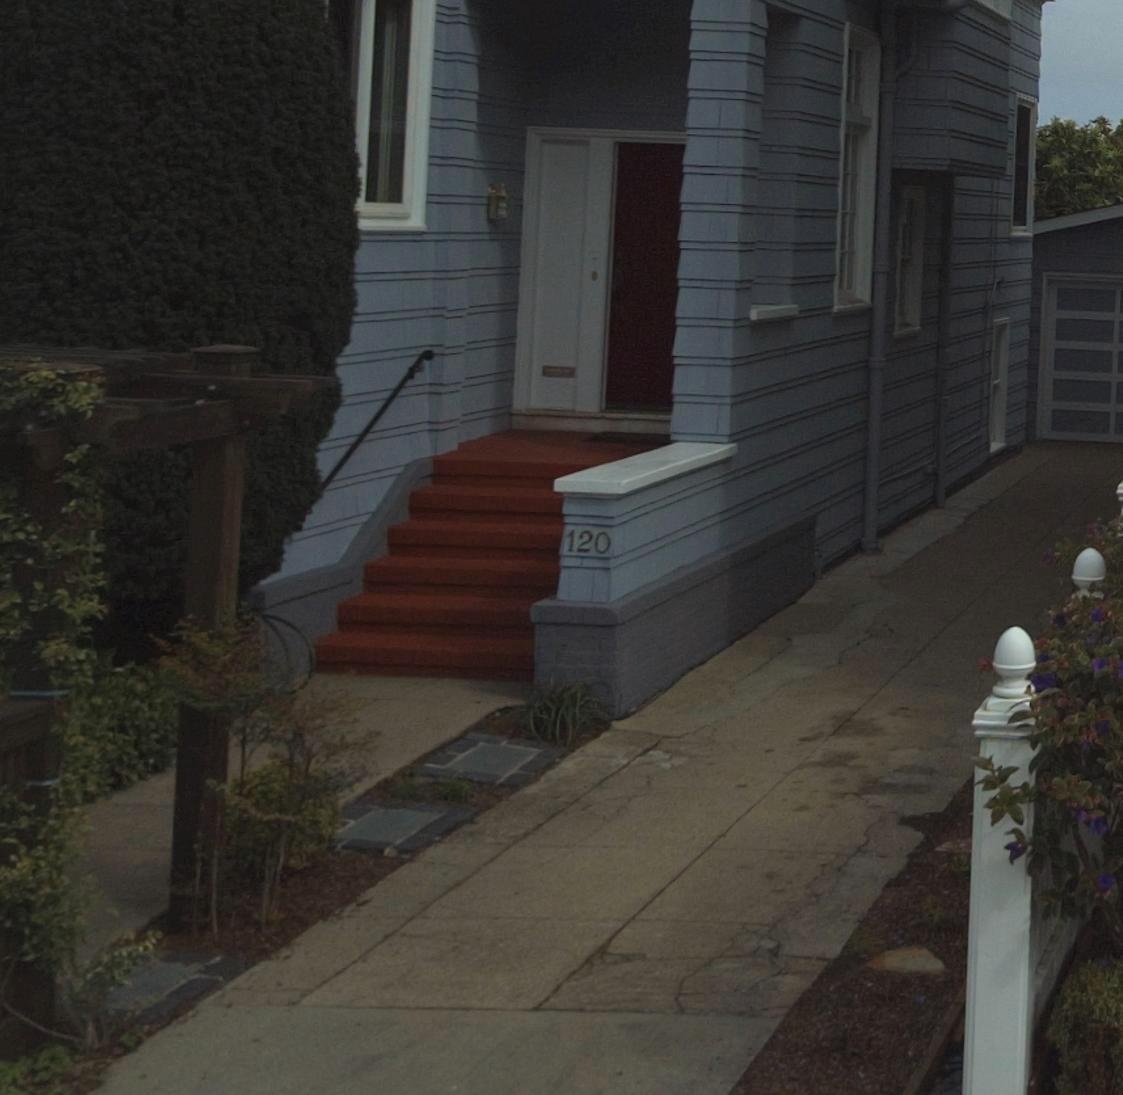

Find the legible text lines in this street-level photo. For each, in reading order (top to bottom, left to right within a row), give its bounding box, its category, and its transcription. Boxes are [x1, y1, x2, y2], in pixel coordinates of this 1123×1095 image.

[566, 527, 611, 554] StreetNumber: 120